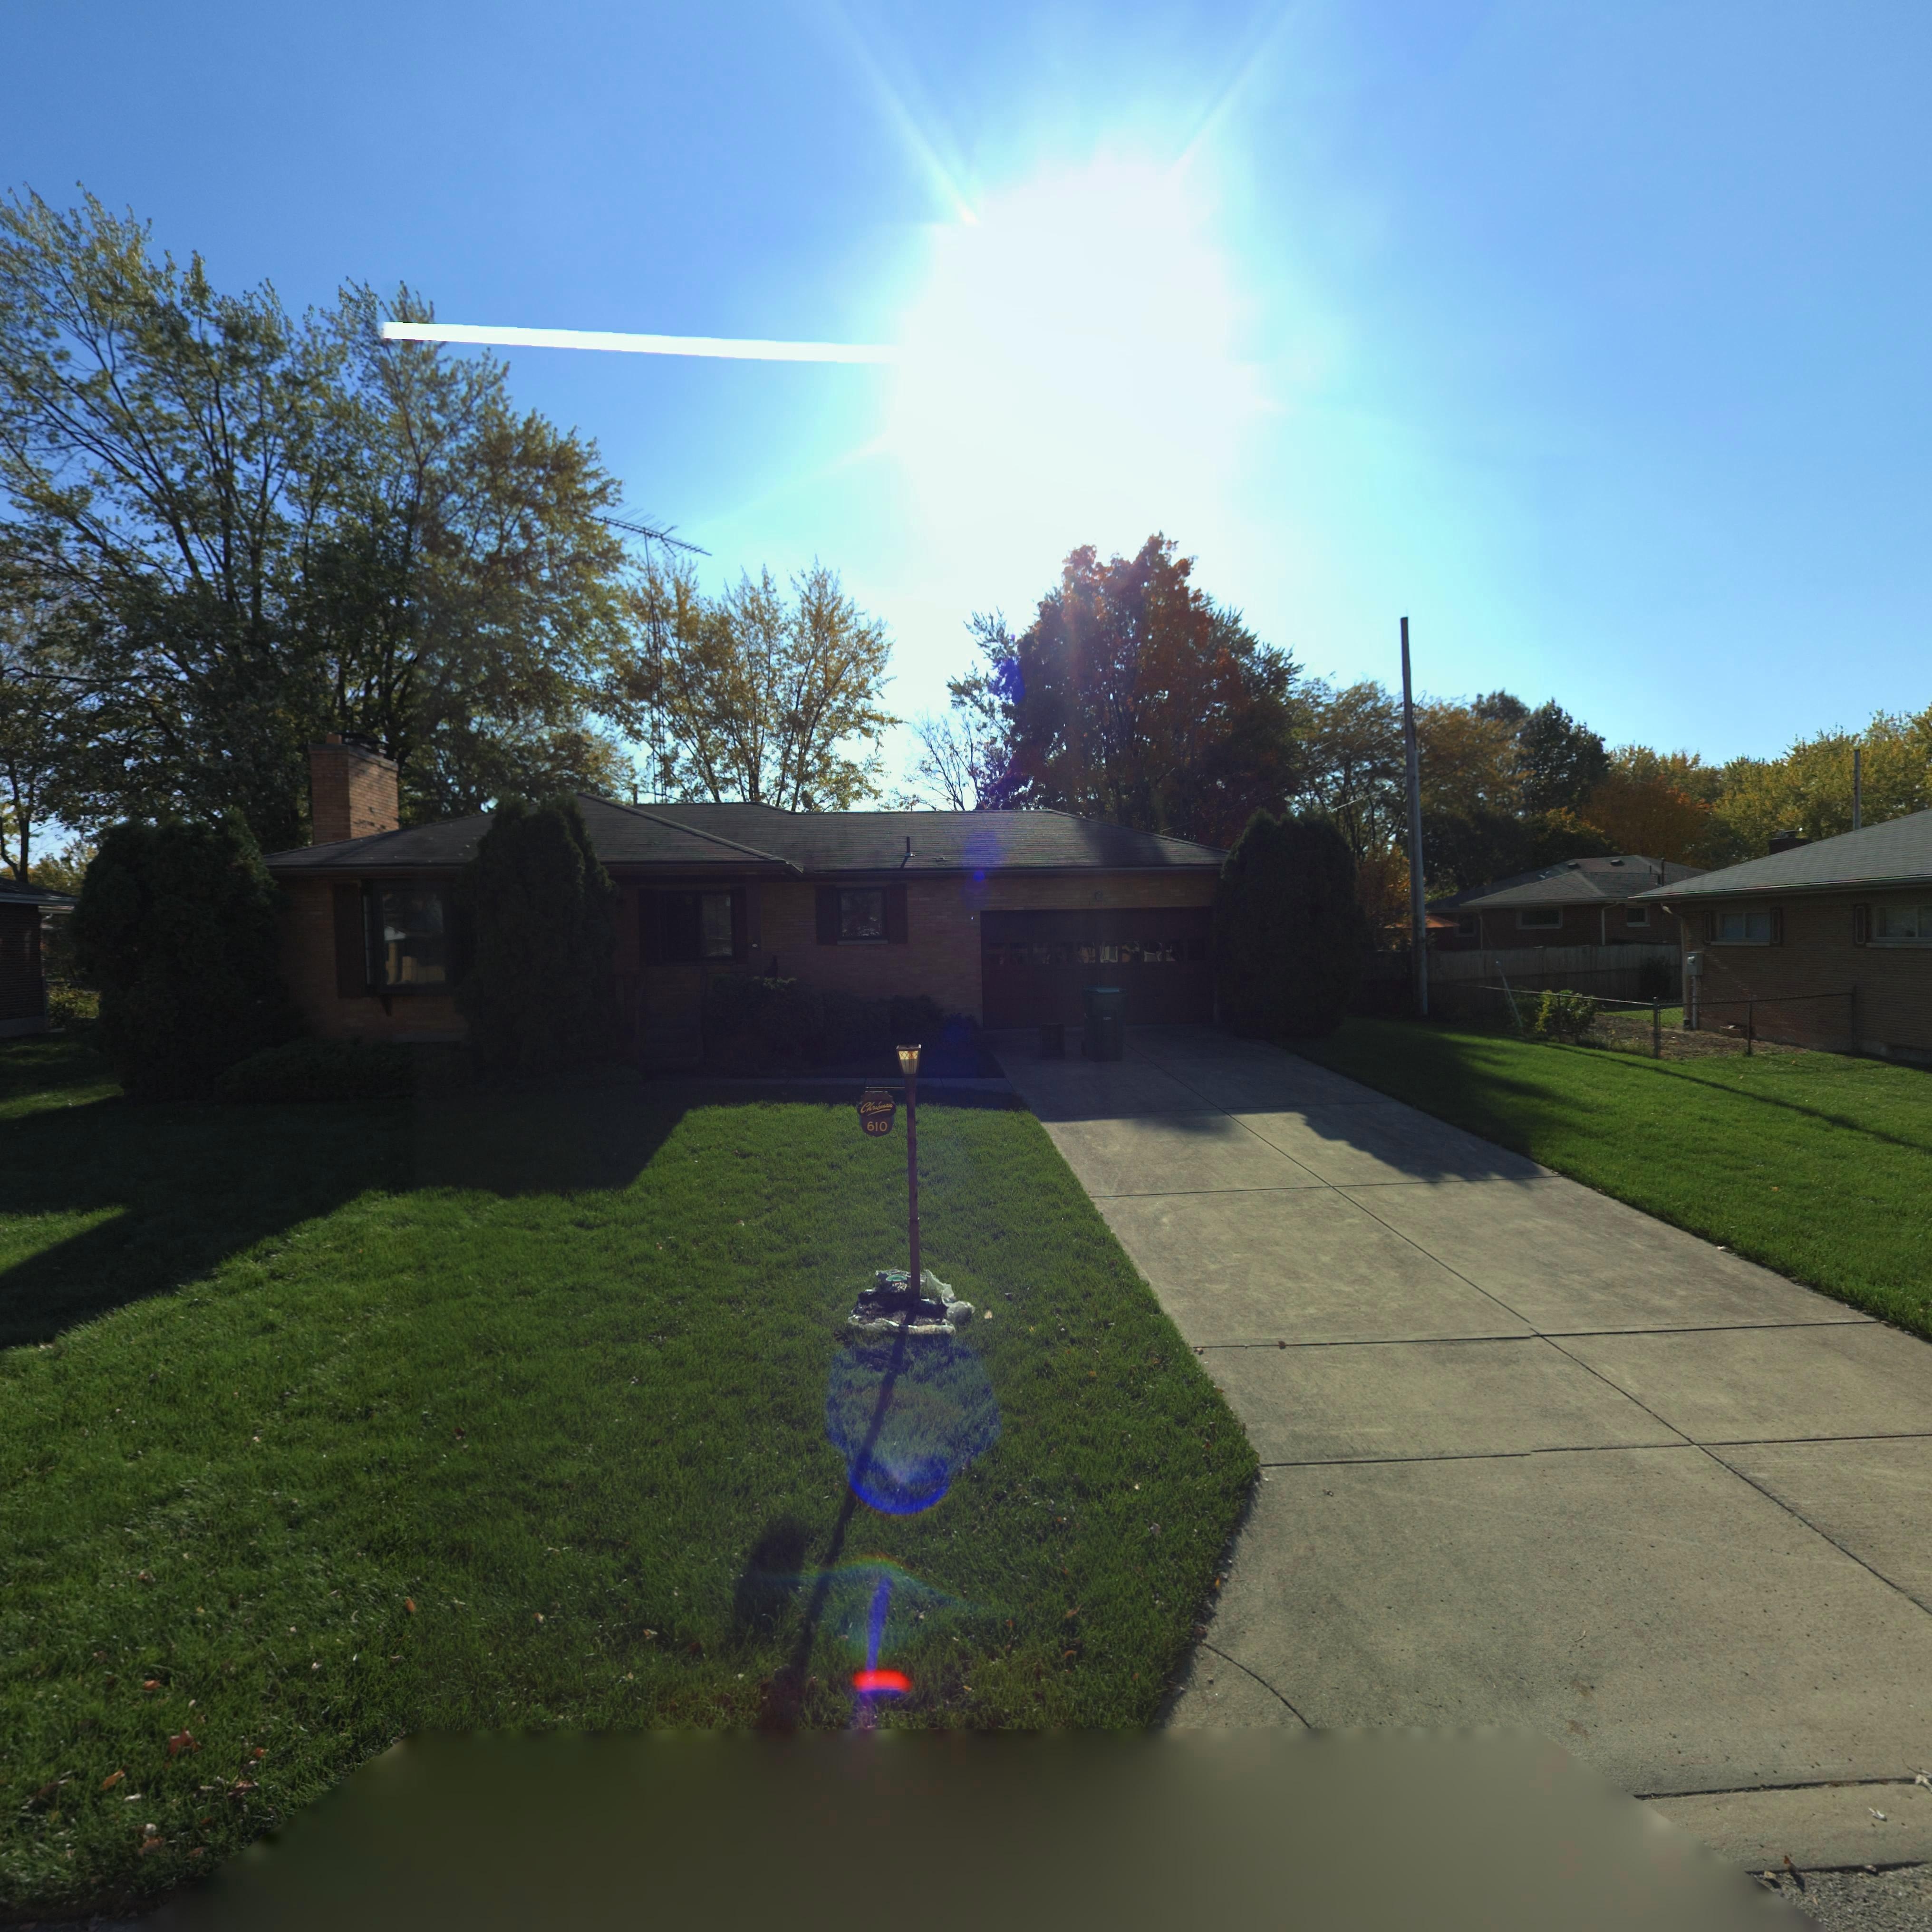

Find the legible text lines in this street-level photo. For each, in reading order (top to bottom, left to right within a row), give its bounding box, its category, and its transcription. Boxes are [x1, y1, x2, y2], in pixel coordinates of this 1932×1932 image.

[1089, 898, 1108, 908] StreetNumber: 610
[860, 1101, 893, 1114] None: Chrisman
[866, 1120, 888, 1132] StreetNumber: 610